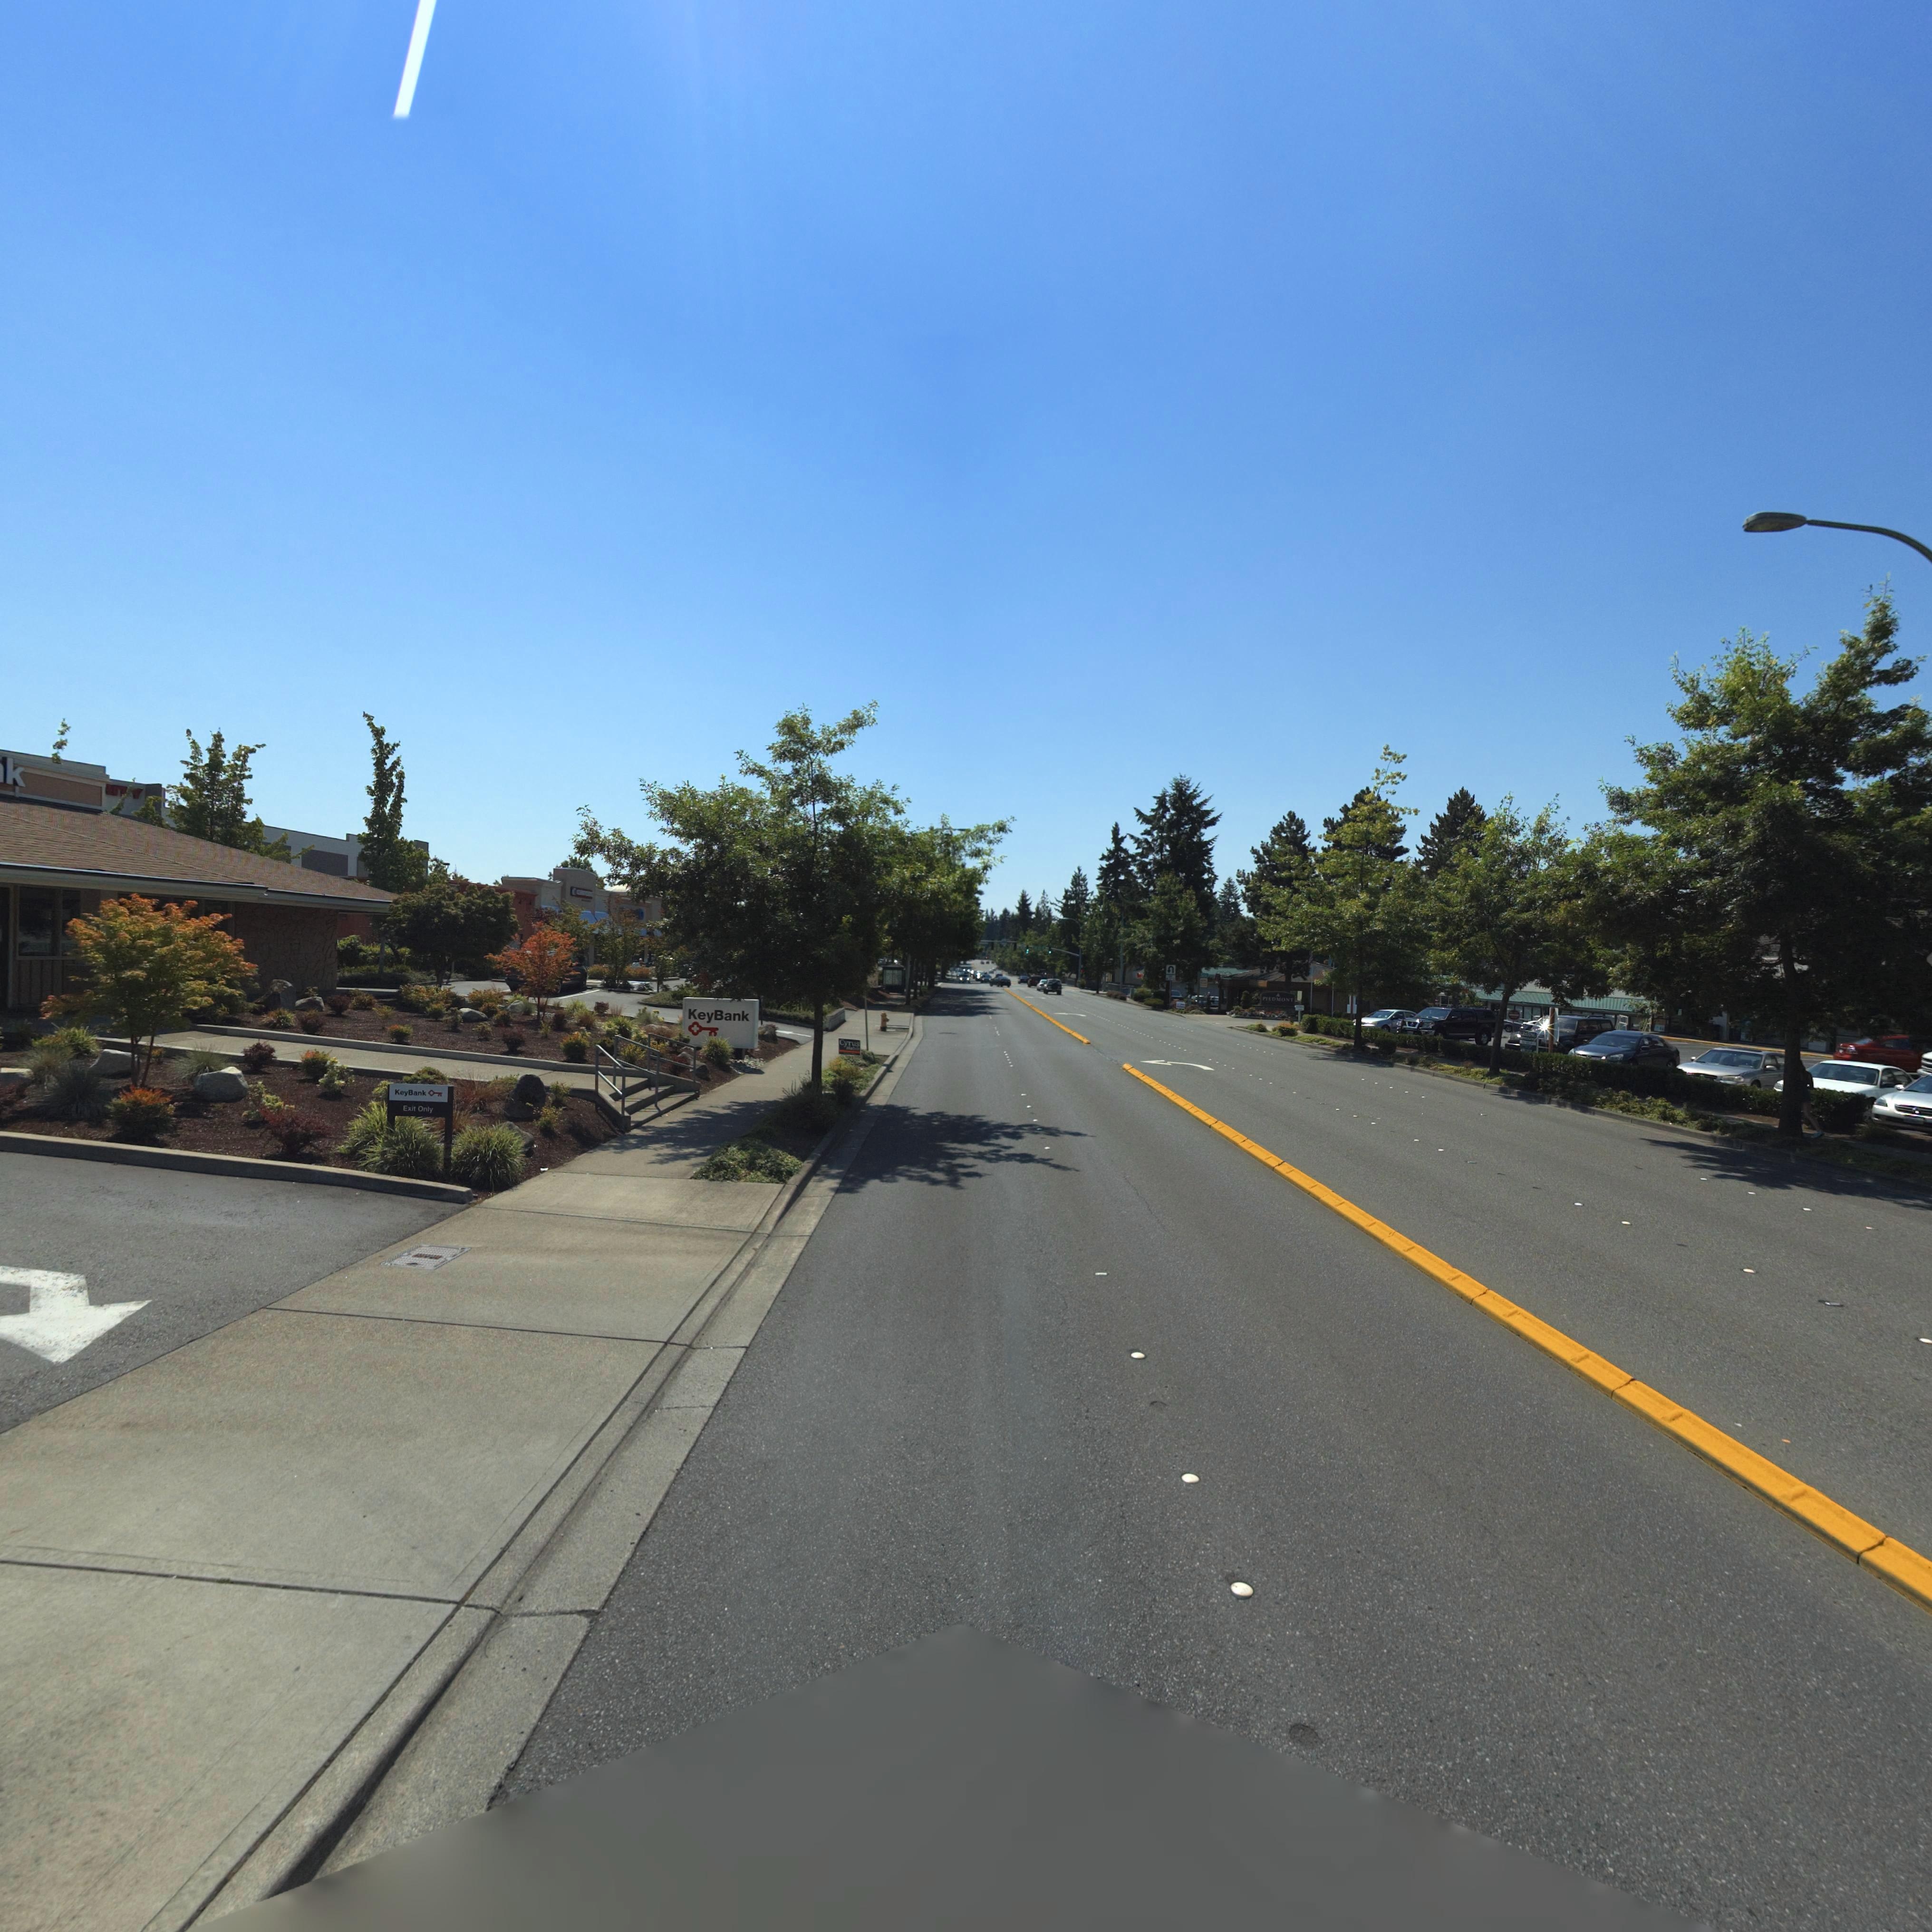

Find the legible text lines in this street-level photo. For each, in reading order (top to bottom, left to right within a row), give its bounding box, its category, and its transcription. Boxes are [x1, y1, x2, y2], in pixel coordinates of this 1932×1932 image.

[1262, 995, 1294, 1003] BusinessName: PIEDMONT
[687, 1008, 748, 1023] BusinessName: KeyBank
[393, 1088, 428, 1097] BusinessName: KeyBank